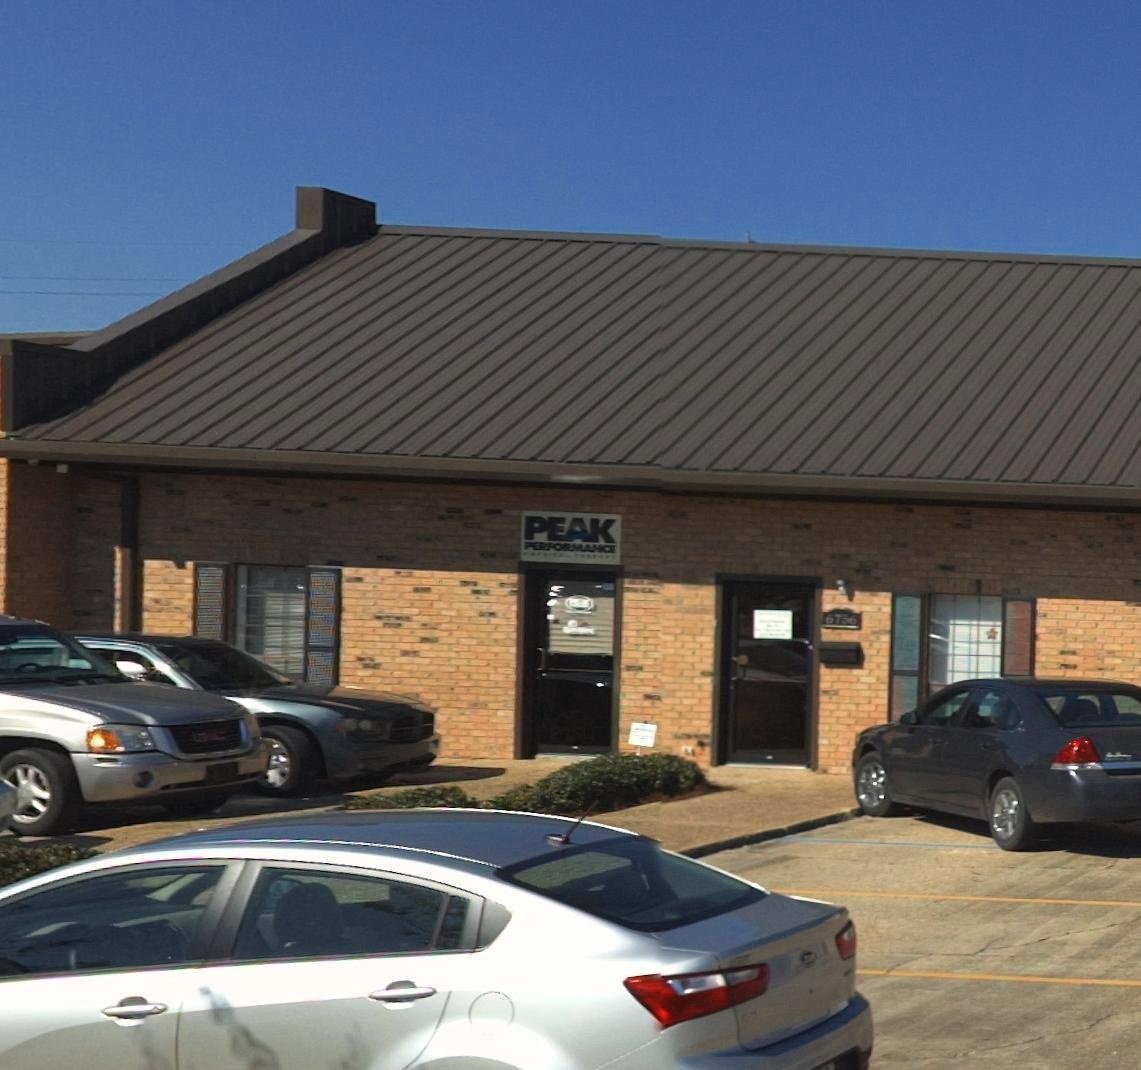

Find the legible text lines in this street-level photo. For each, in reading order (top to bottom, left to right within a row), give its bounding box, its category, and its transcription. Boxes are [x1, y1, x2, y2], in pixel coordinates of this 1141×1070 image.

[522, 513, 620, 545] BusinessName: PEAK
[523, 539, 618, 556] BusinessName: PERFORMANCE
[822, 610, 860, 629] StreetNumber: 6756